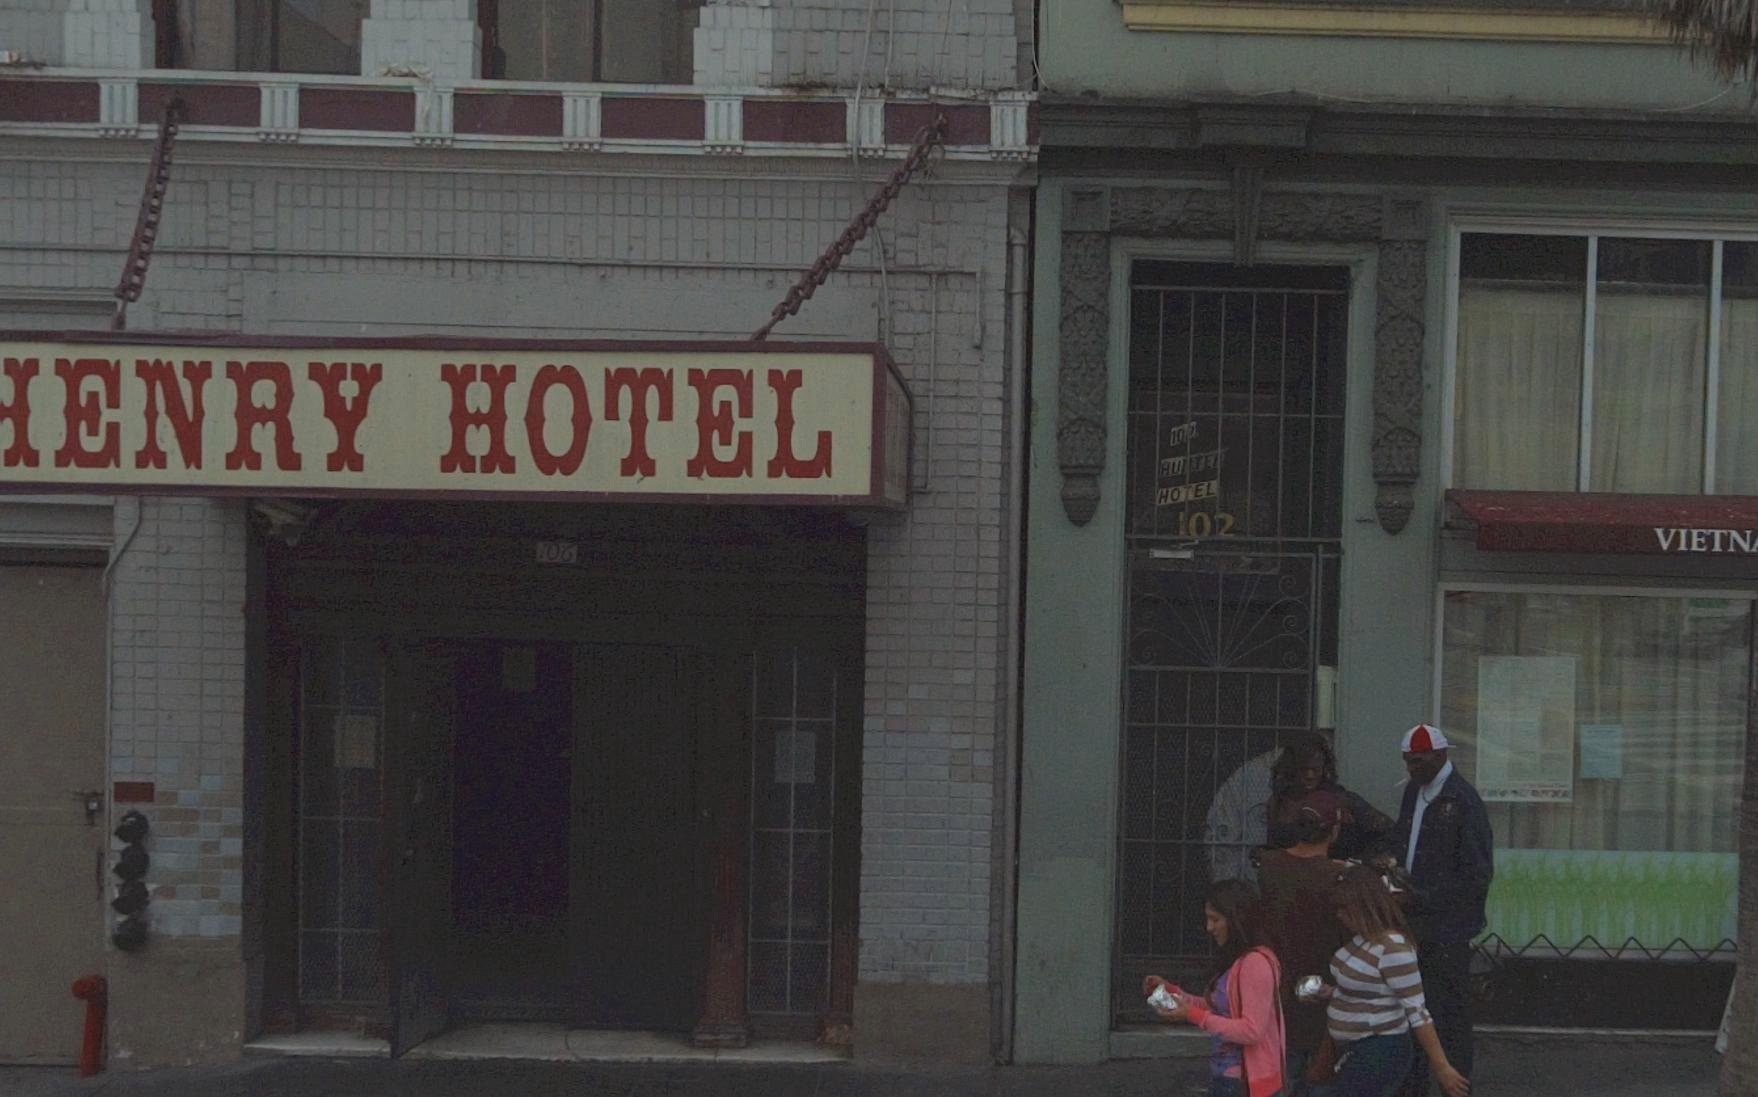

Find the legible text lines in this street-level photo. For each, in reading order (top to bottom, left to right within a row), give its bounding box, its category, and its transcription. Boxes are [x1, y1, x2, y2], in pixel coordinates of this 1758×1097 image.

[49, 353, 843, 486] BusinessName: ENRY HOTEL
[1169, 422, 1197, 447] StreetNumber: 10*
[1159, 449, 1224, 479] BusinessName: HU*TE*
[1156, 478, 1218, 507] BusinessName: HO*EL
[1177, 509, 1237, 539] StreetNumber: 102
[535, 540, 579, 564] StreetNumber: 106
[1650, 525, 1755, 555] BusinessName: VIETN